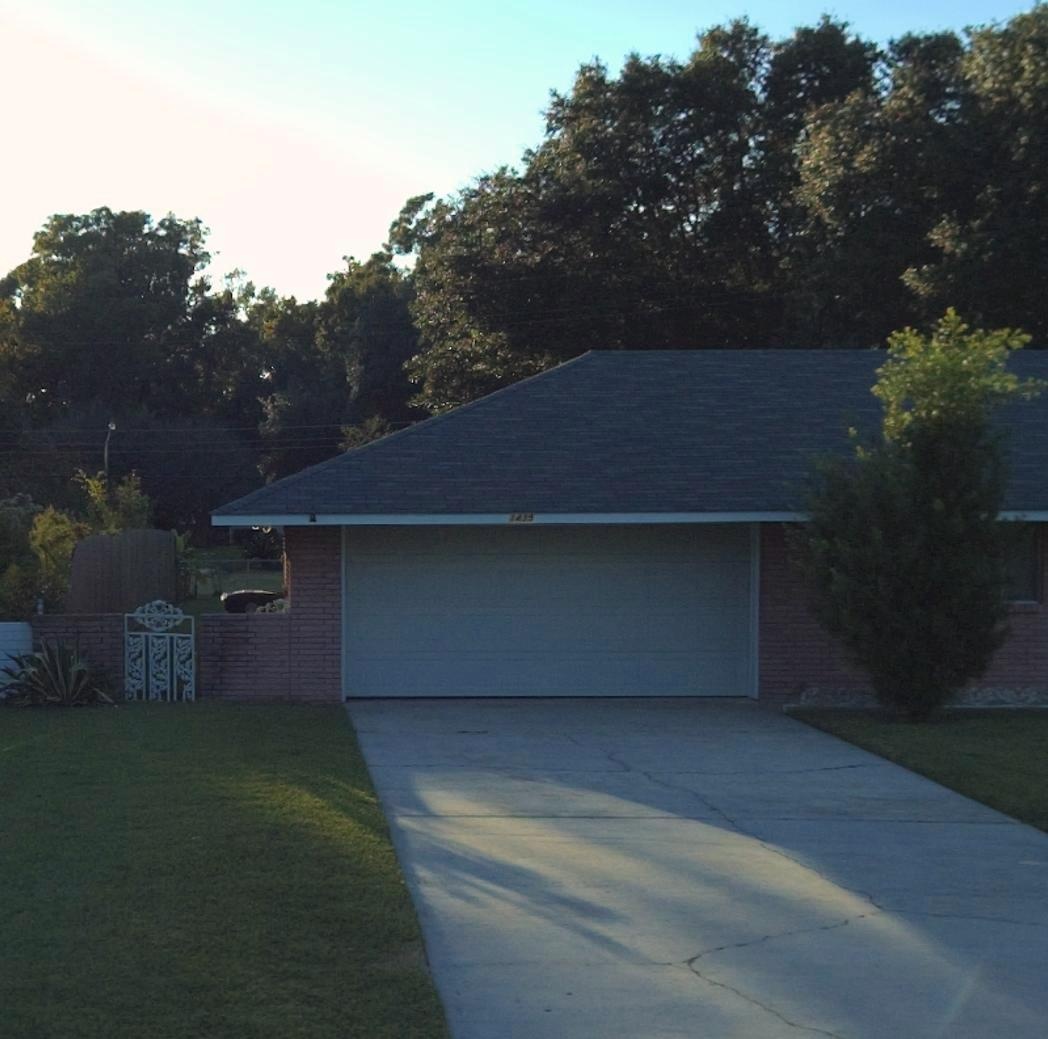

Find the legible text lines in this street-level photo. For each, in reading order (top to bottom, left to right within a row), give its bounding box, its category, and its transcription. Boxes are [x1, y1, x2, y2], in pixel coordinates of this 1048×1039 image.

[508, 513, 535, 523] StreetNumber: 1435